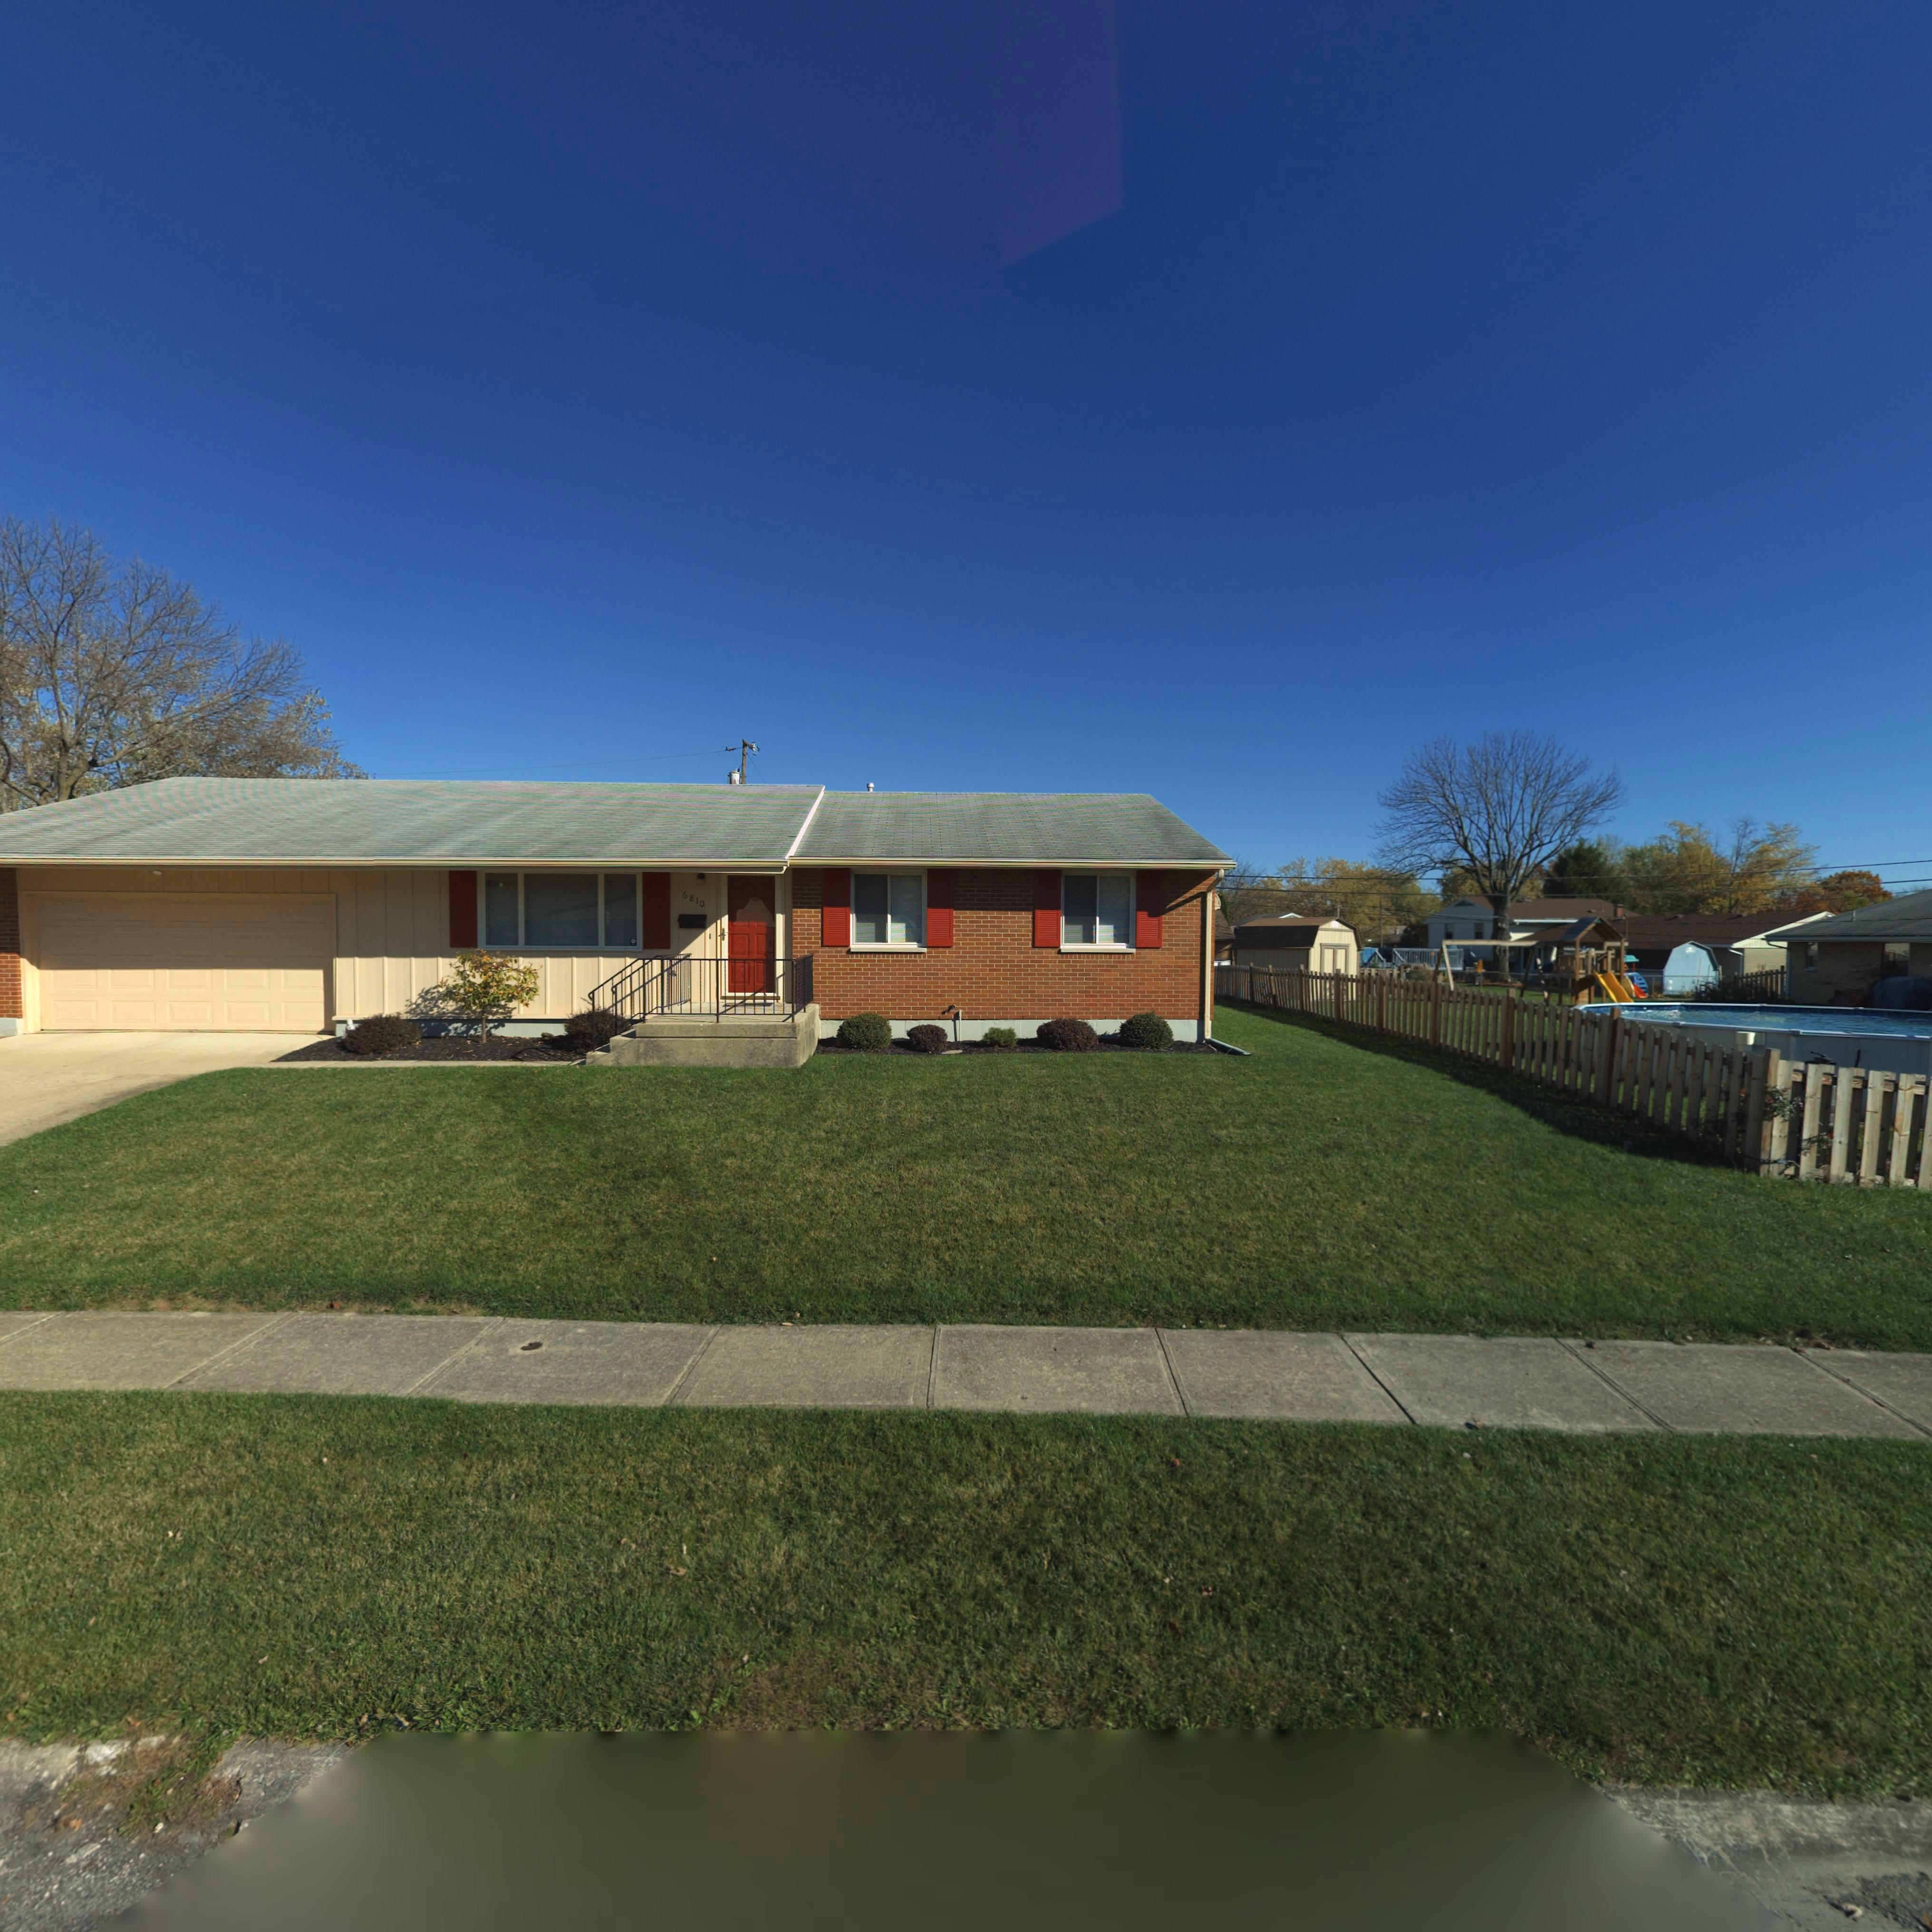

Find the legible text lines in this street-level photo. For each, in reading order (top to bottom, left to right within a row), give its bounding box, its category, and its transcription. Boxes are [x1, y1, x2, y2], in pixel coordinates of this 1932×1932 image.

[682, 890, 705, 908] StreetNumber: 6810